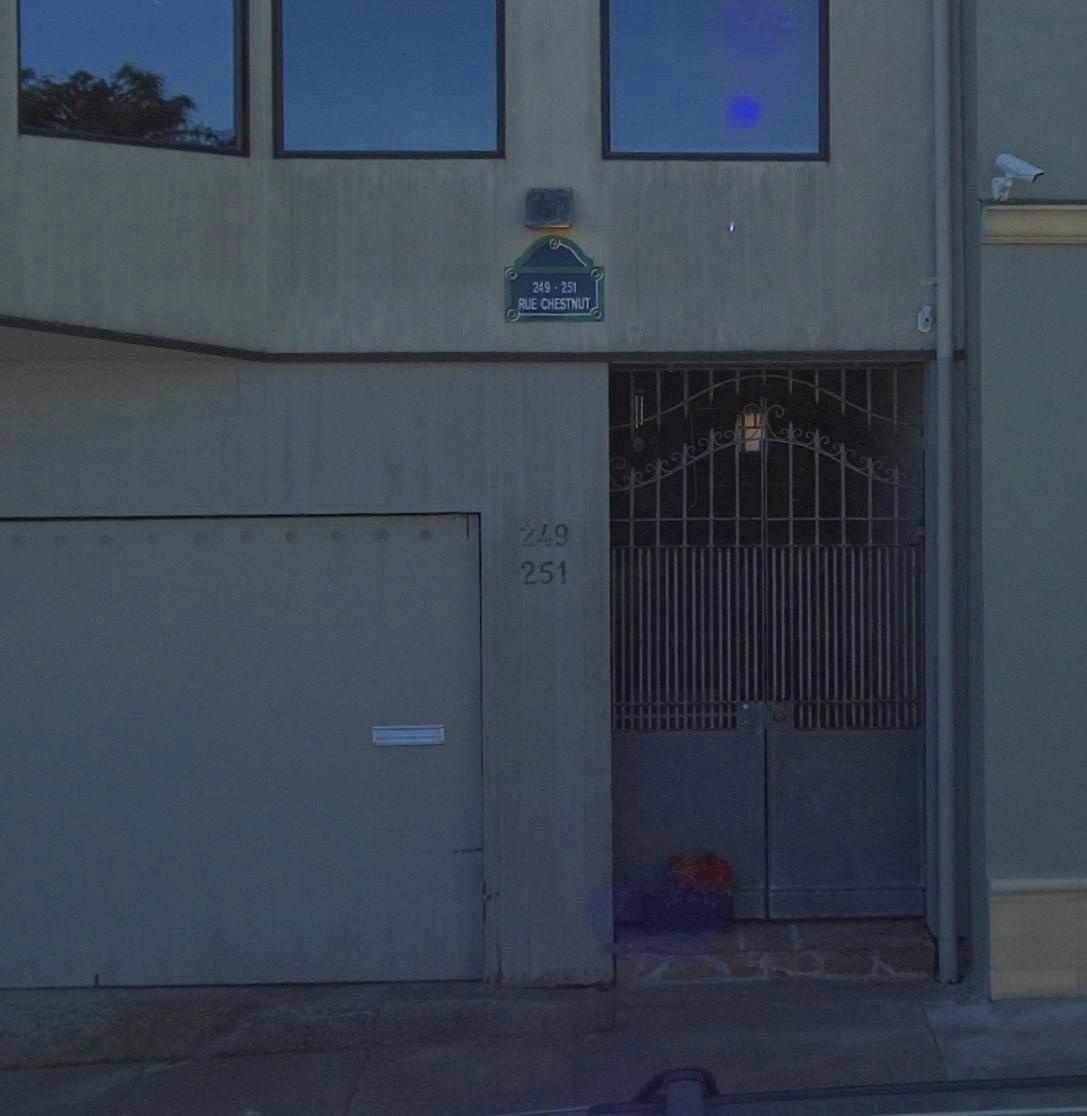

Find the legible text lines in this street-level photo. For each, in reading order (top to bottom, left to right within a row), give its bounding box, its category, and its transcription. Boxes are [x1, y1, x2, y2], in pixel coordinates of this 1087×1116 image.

[531, 280, 551, 295] StreetNumber: 249
[560, 280, 577, 295] StreetNumber: 251
[517, 296, 592, 312] StreetName: RUE CHESTNUT
[519, 522, 569, 548] StreetNumber: 249
[520, 559, 568, 586] StreetNumber: 251